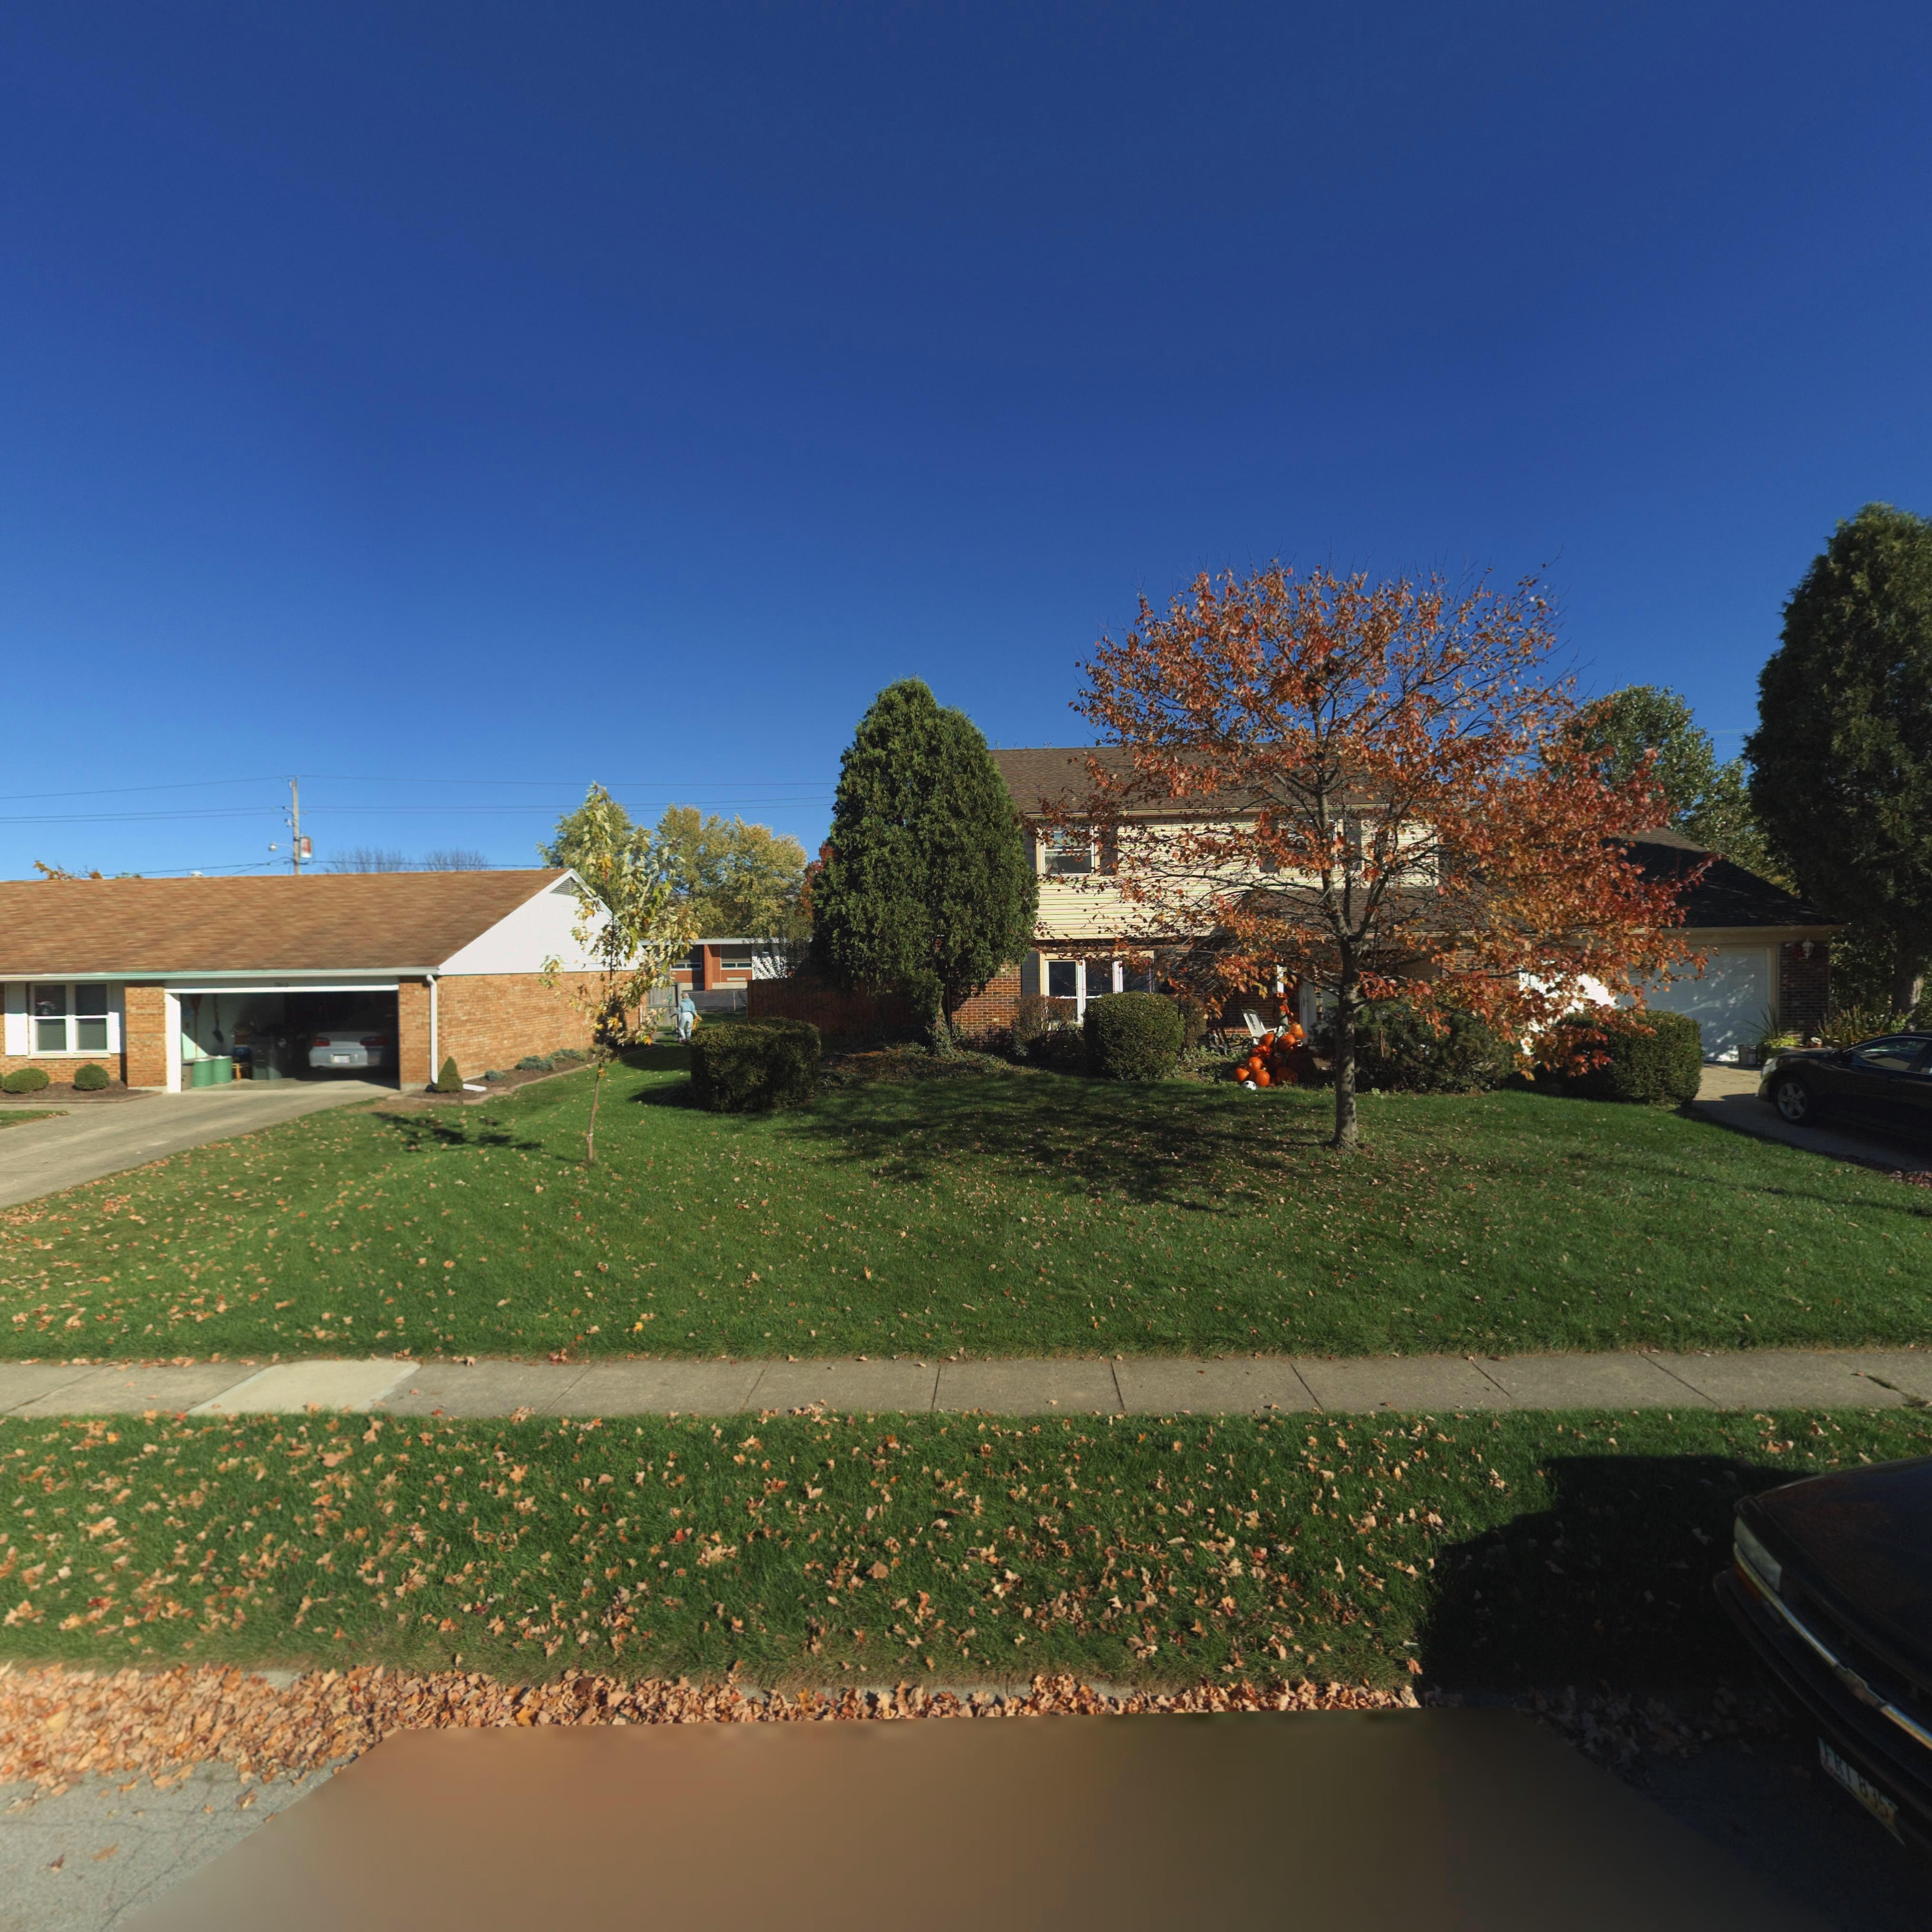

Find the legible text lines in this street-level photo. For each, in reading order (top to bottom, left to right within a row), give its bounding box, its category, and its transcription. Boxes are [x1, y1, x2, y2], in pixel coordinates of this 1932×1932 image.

[274, 982, 290, 987] StreetNumber: 70**
[1867, 1780, 1890, 1820] None: 35